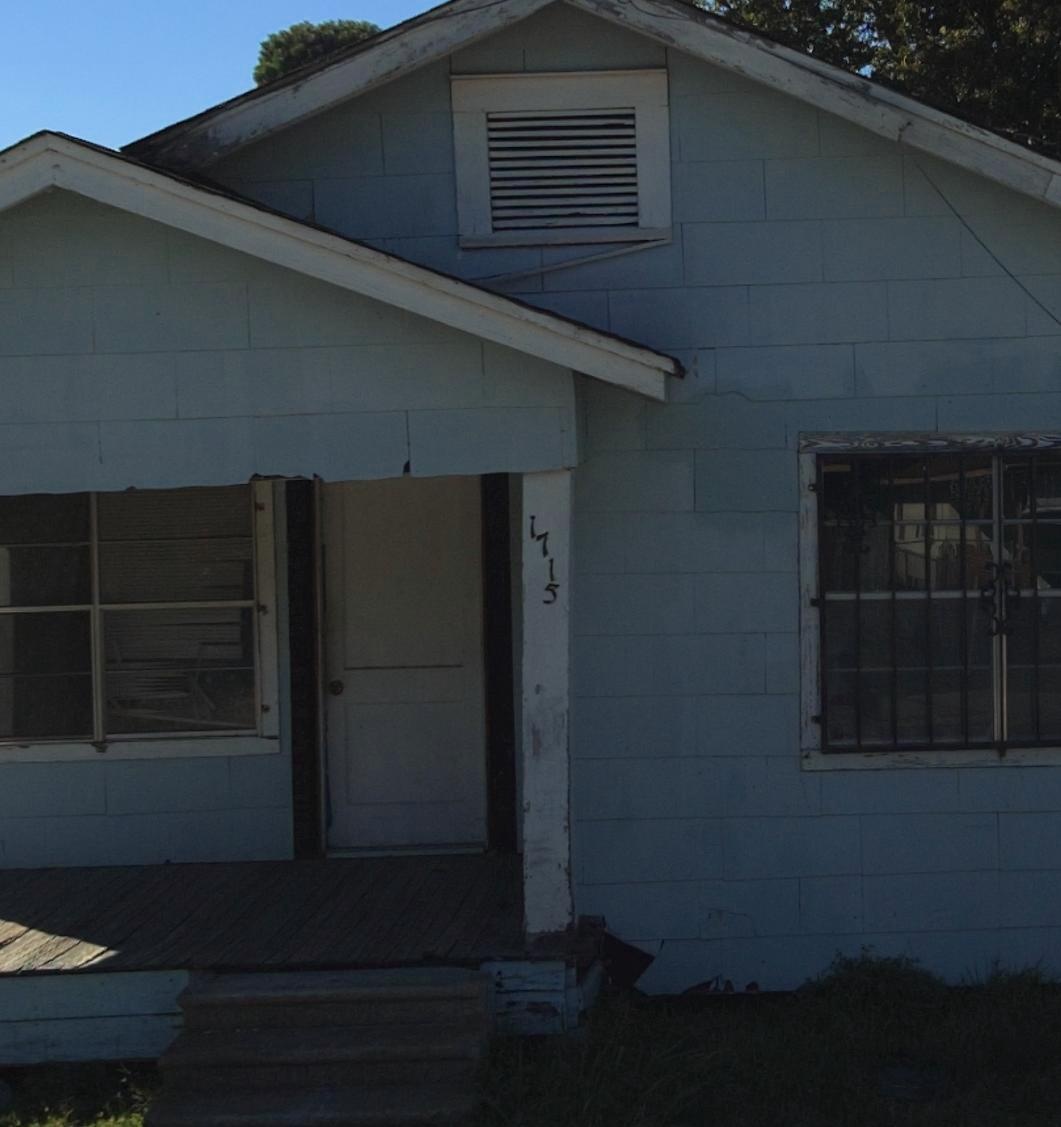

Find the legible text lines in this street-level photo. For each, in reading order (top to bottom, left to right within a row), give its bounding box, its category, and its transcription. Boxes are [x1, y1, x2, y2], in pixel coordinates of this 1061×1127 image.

[526, 511, 560, 608] StreetNumber: 1715